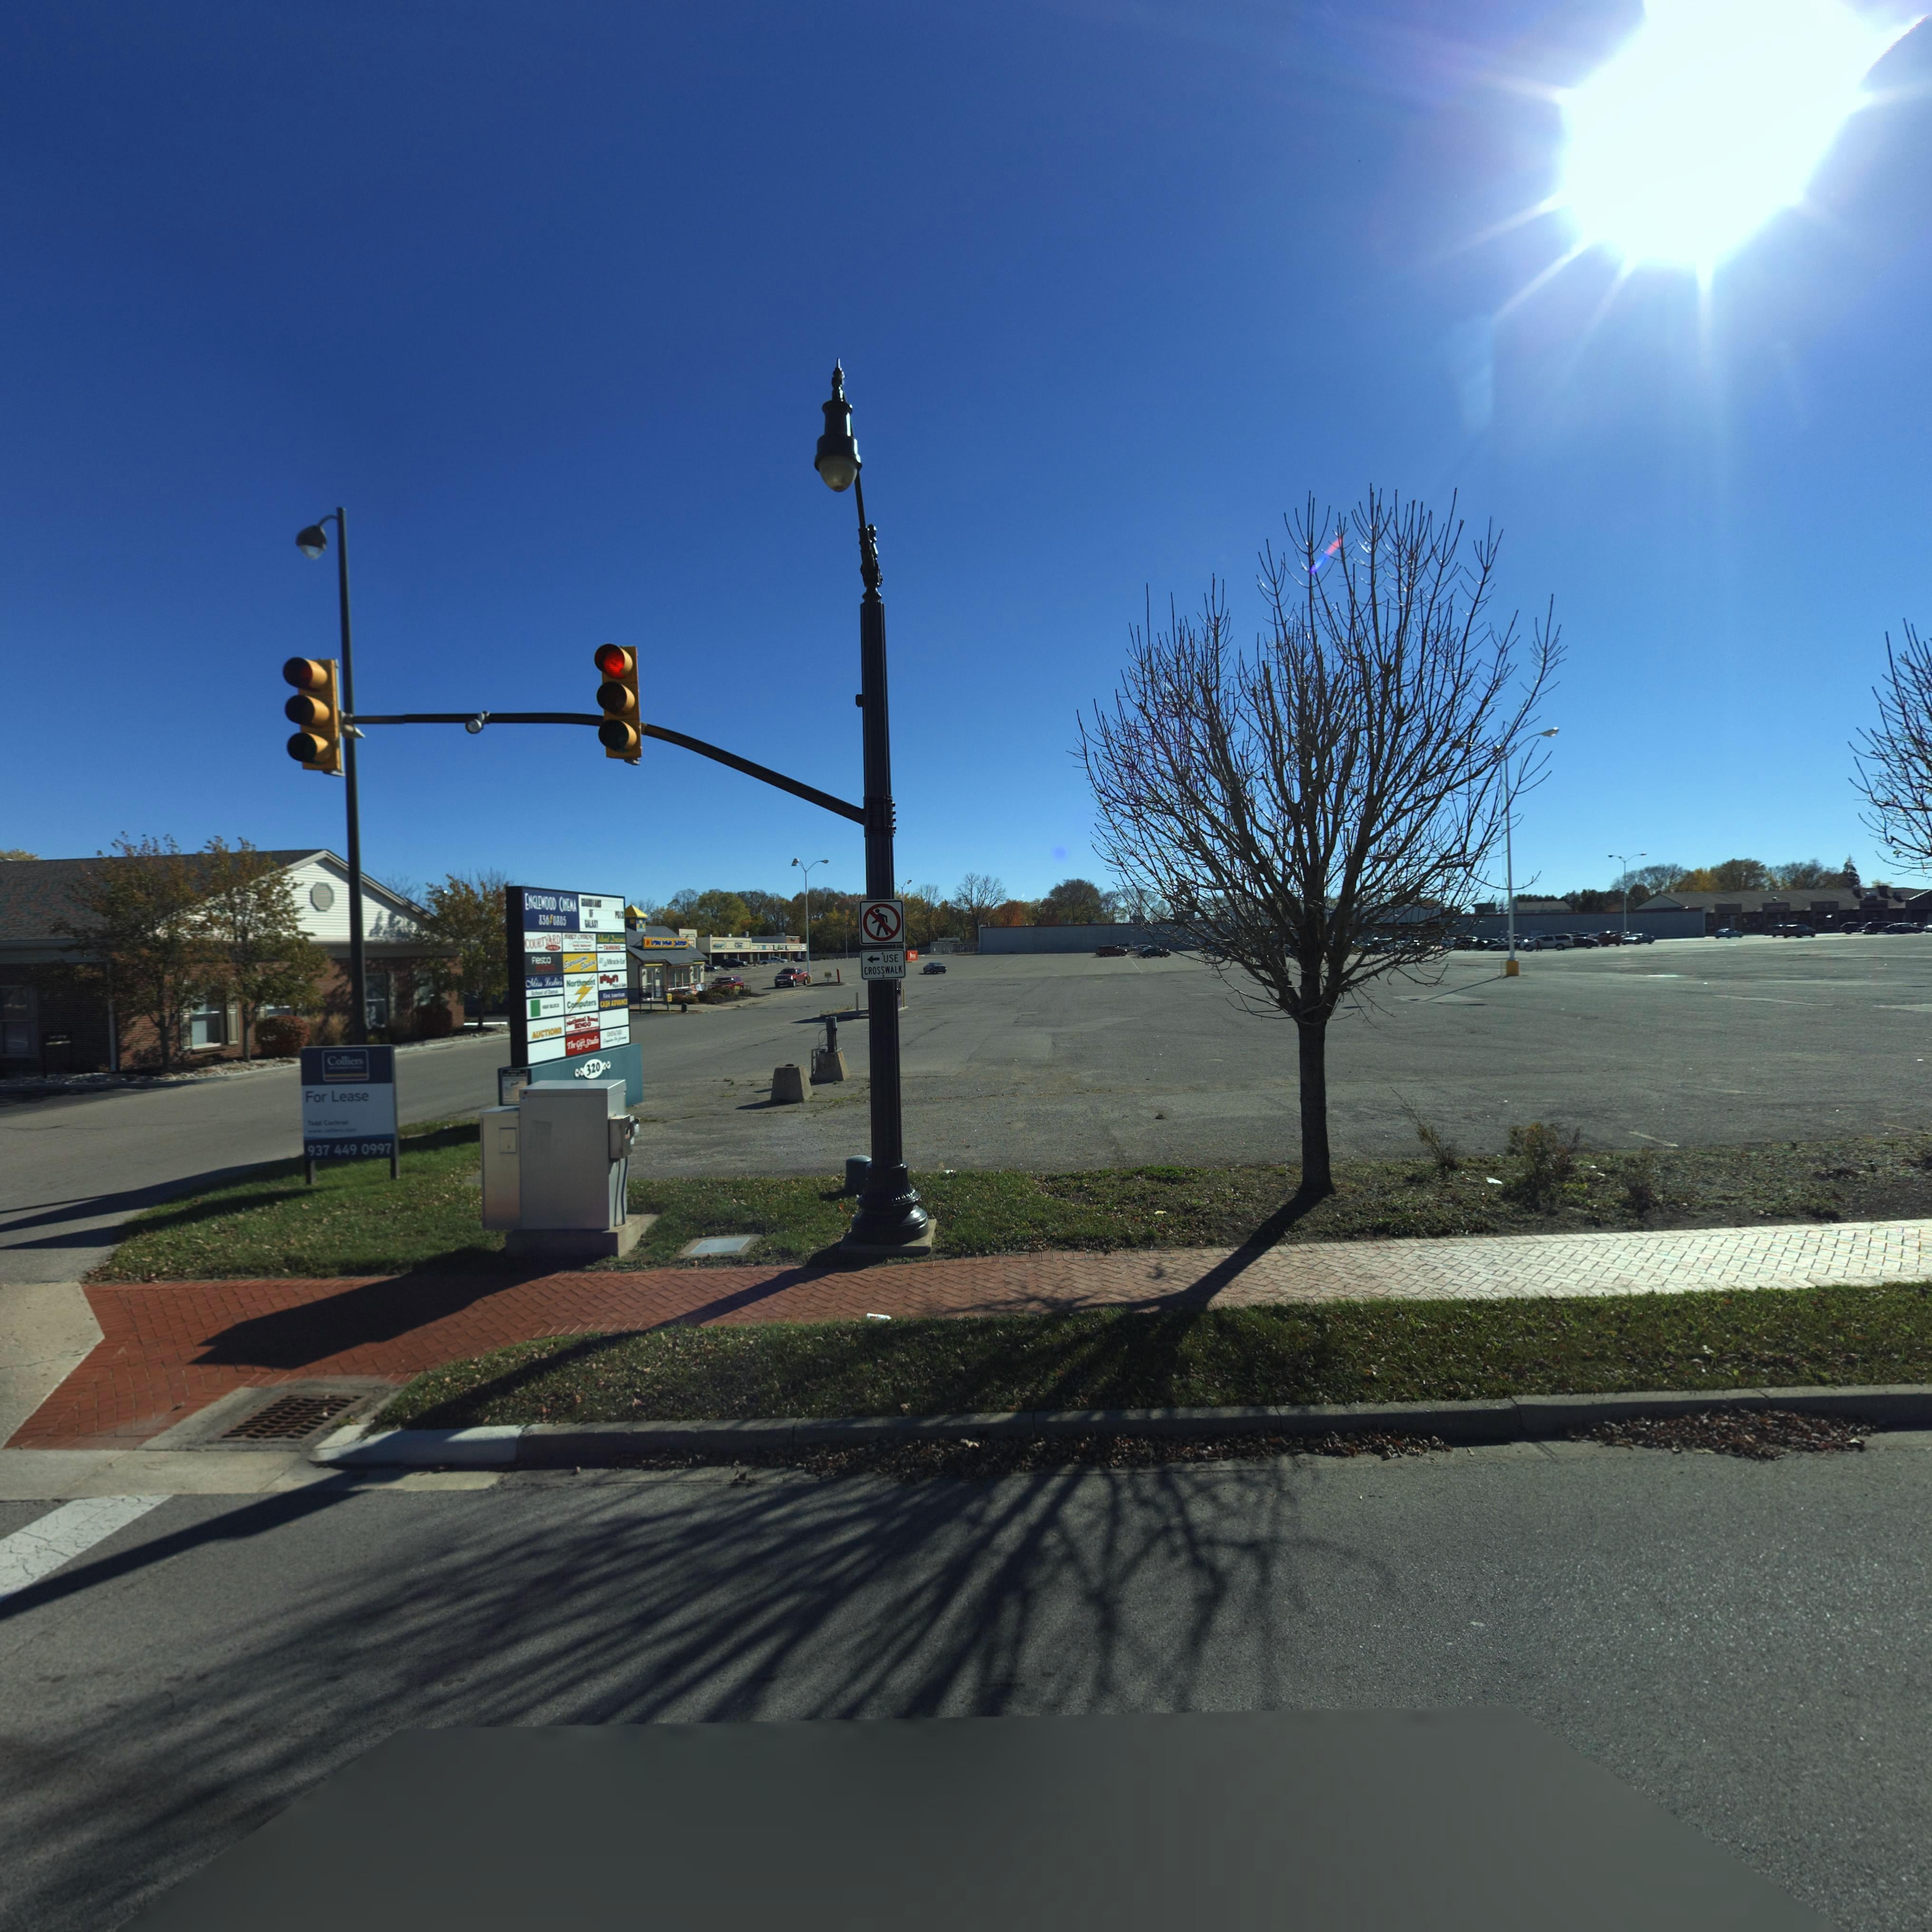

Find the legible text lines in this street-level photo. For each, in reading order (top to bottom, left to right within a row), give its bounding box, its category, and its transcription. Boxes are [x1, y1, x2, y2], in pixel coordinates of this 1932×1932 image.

[523, 892, 578, 913] BusinessName: ENGLEWOOD CINEMA
[580, 897, 602, 909] None: GUARDIANS
[538, 914, 567, 927] None: 836*0805
[589, 908, 594, 918] None: OF
[584, 919, 599, 929] None: GALA**
[614, 910, 624, 919] None: PG13
[524, 933, 561, 950] BusinessName: COUNTYARD
[531, 956, 552, 965] BusinessName: fiesta
[883, 953, 899, 963] None: USE
[863, 965, 903, 976] None: CROSSWALK
[528, 977, 543, 988] BusinessName: Miss
[566, 977, 596, 988] BusinessName: Northmont
[566, 999, 597, 1010] BusinessName: Computers
[599, 998, 628, 1008] BusinessName: CASH ADVANCE
[573, 1021, 592, 1030] BusinessName: BINGO
[531, 1026, 562, 1040] BusinessName: AUCTION*
[566, 1035, 599, 1052] BusinessName: The Gift St*d**
[325, 1055, 365, 1066] None: Colliers
[585, 1060, 601, 1078] StreetNumber: 320
[304, 1090, 370, 1103] None: For Lease
[307, 1142, 394, 1158] None: 937 449 0997